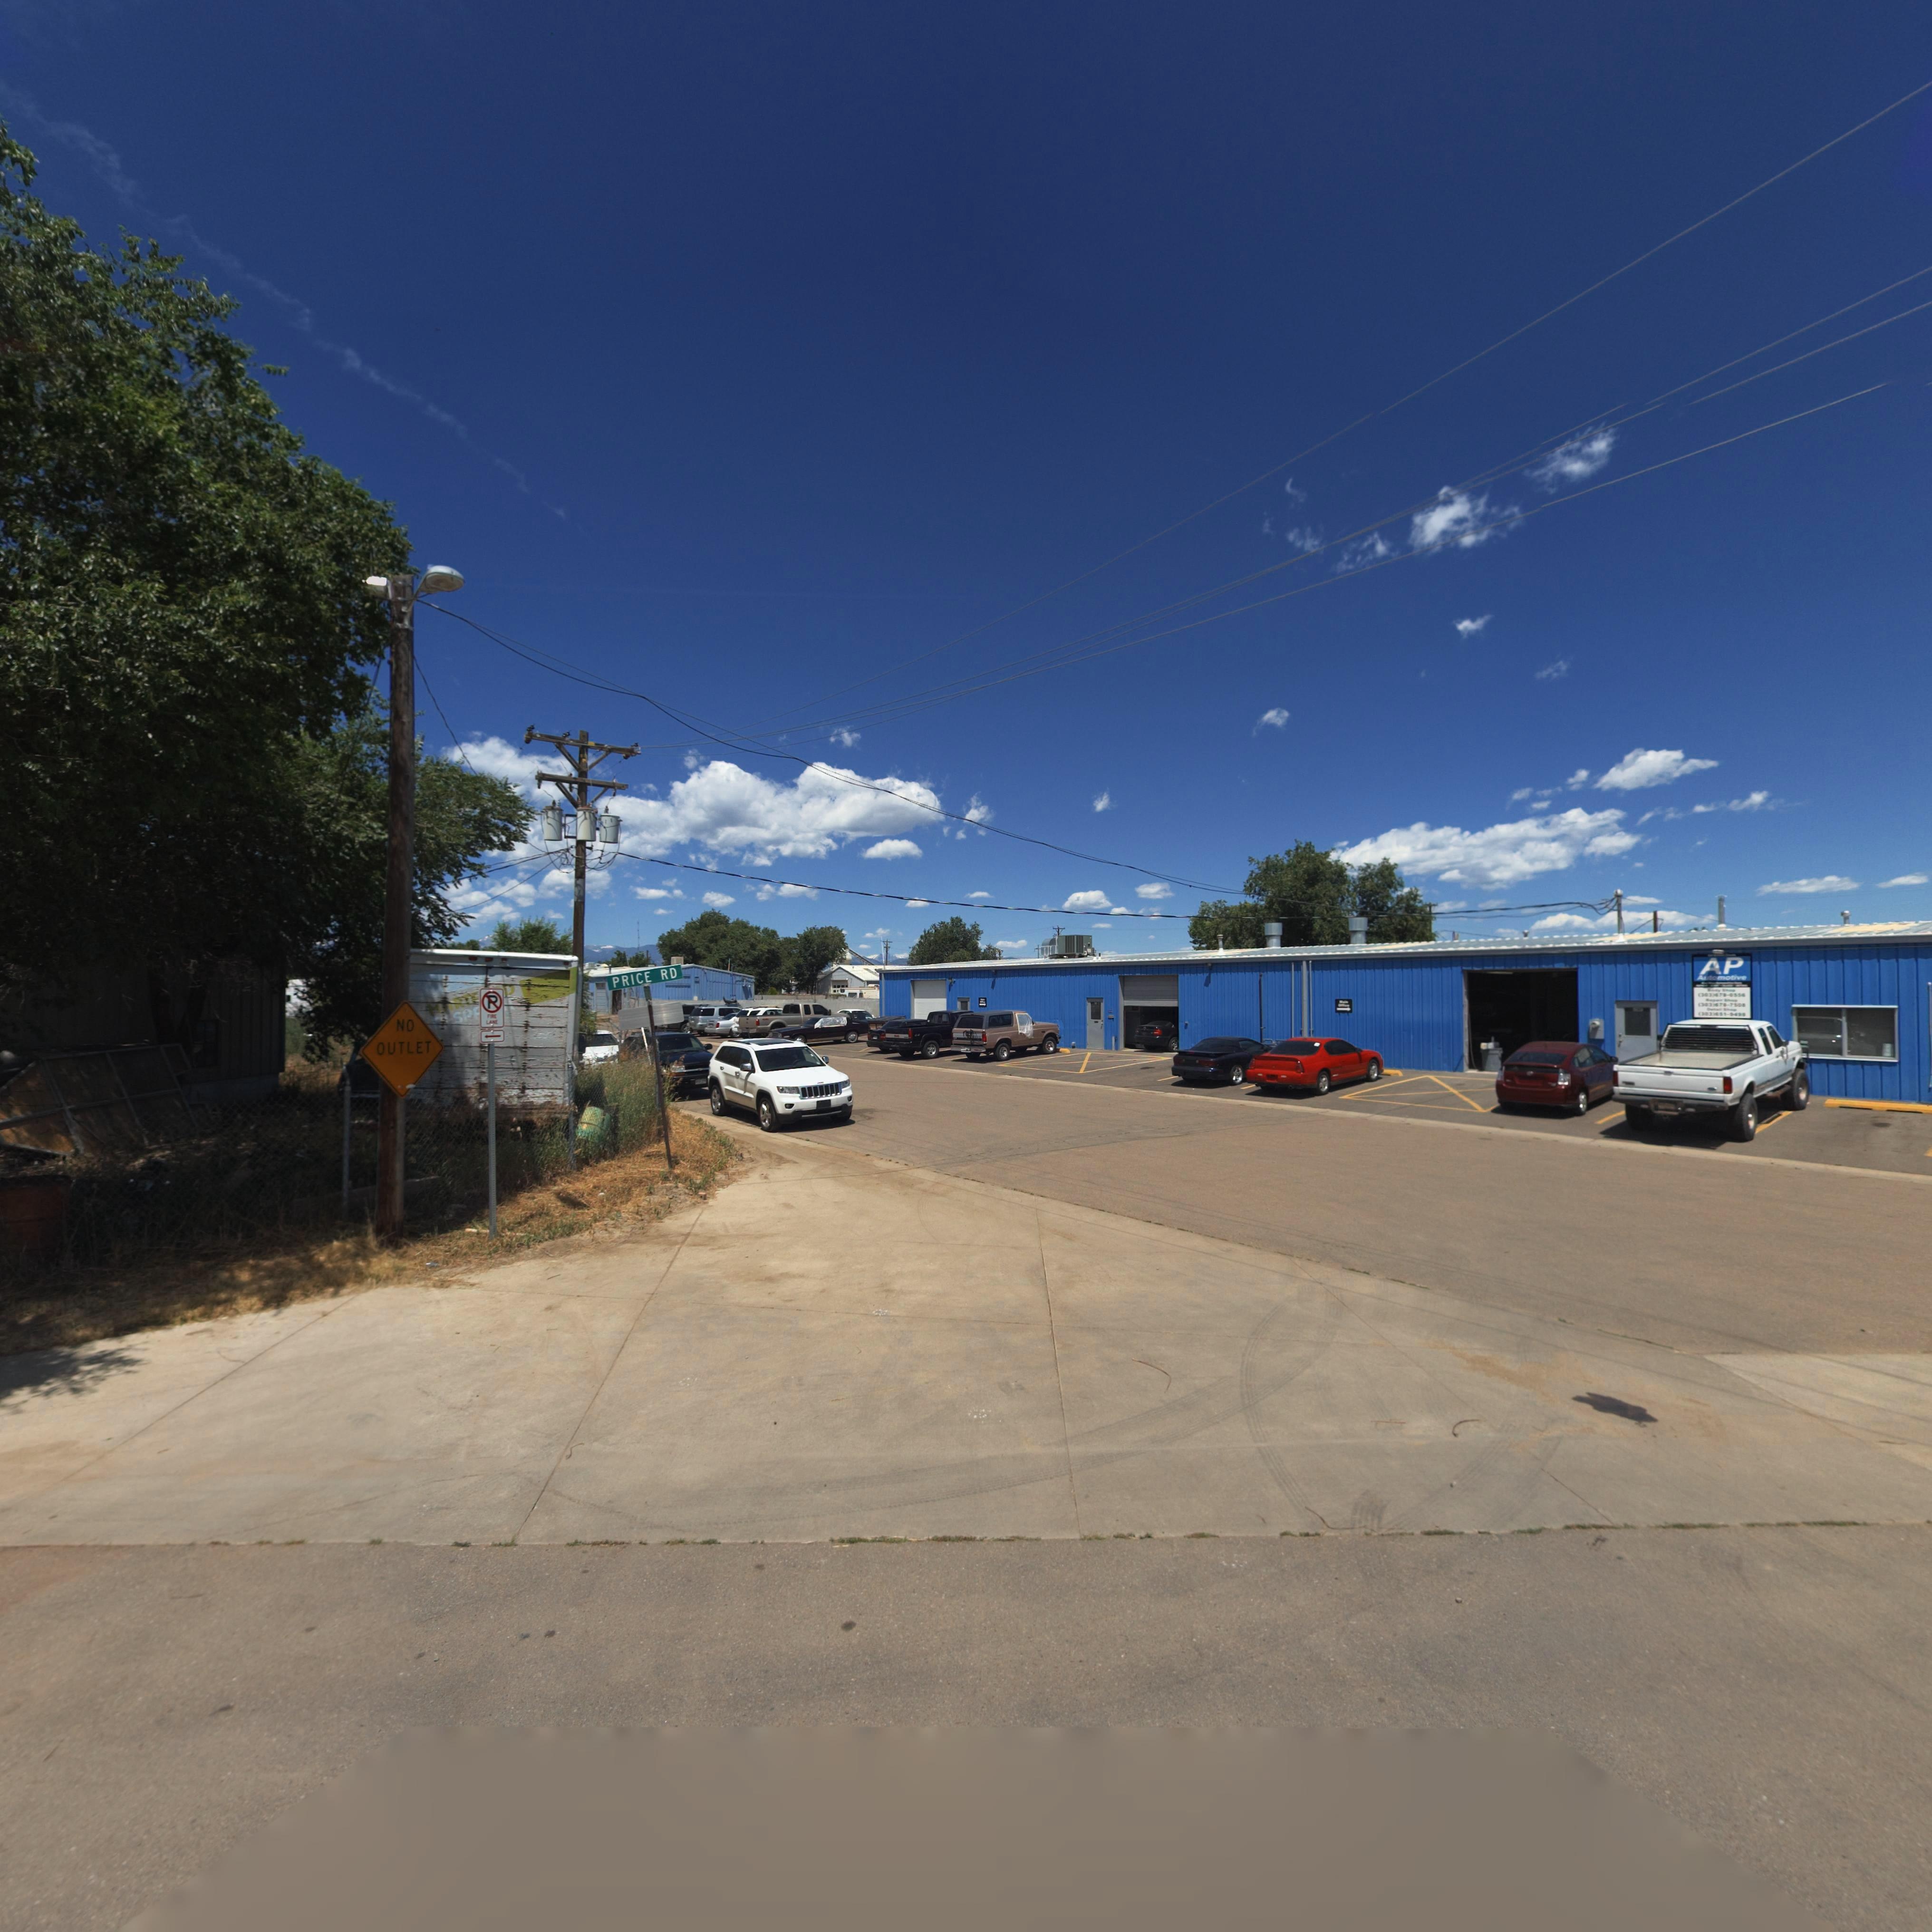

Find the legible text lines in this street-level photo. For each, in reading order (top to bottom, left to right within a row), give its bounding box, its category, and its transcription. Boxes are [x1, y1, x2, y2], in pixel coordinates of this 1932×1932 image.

[1699, 956, 1744, 975] BusinessName: AP
[611, 966, 677, 988] StreetName: PRICE RD
[1696, 975, 1747, 981] BusinessName: Automotive